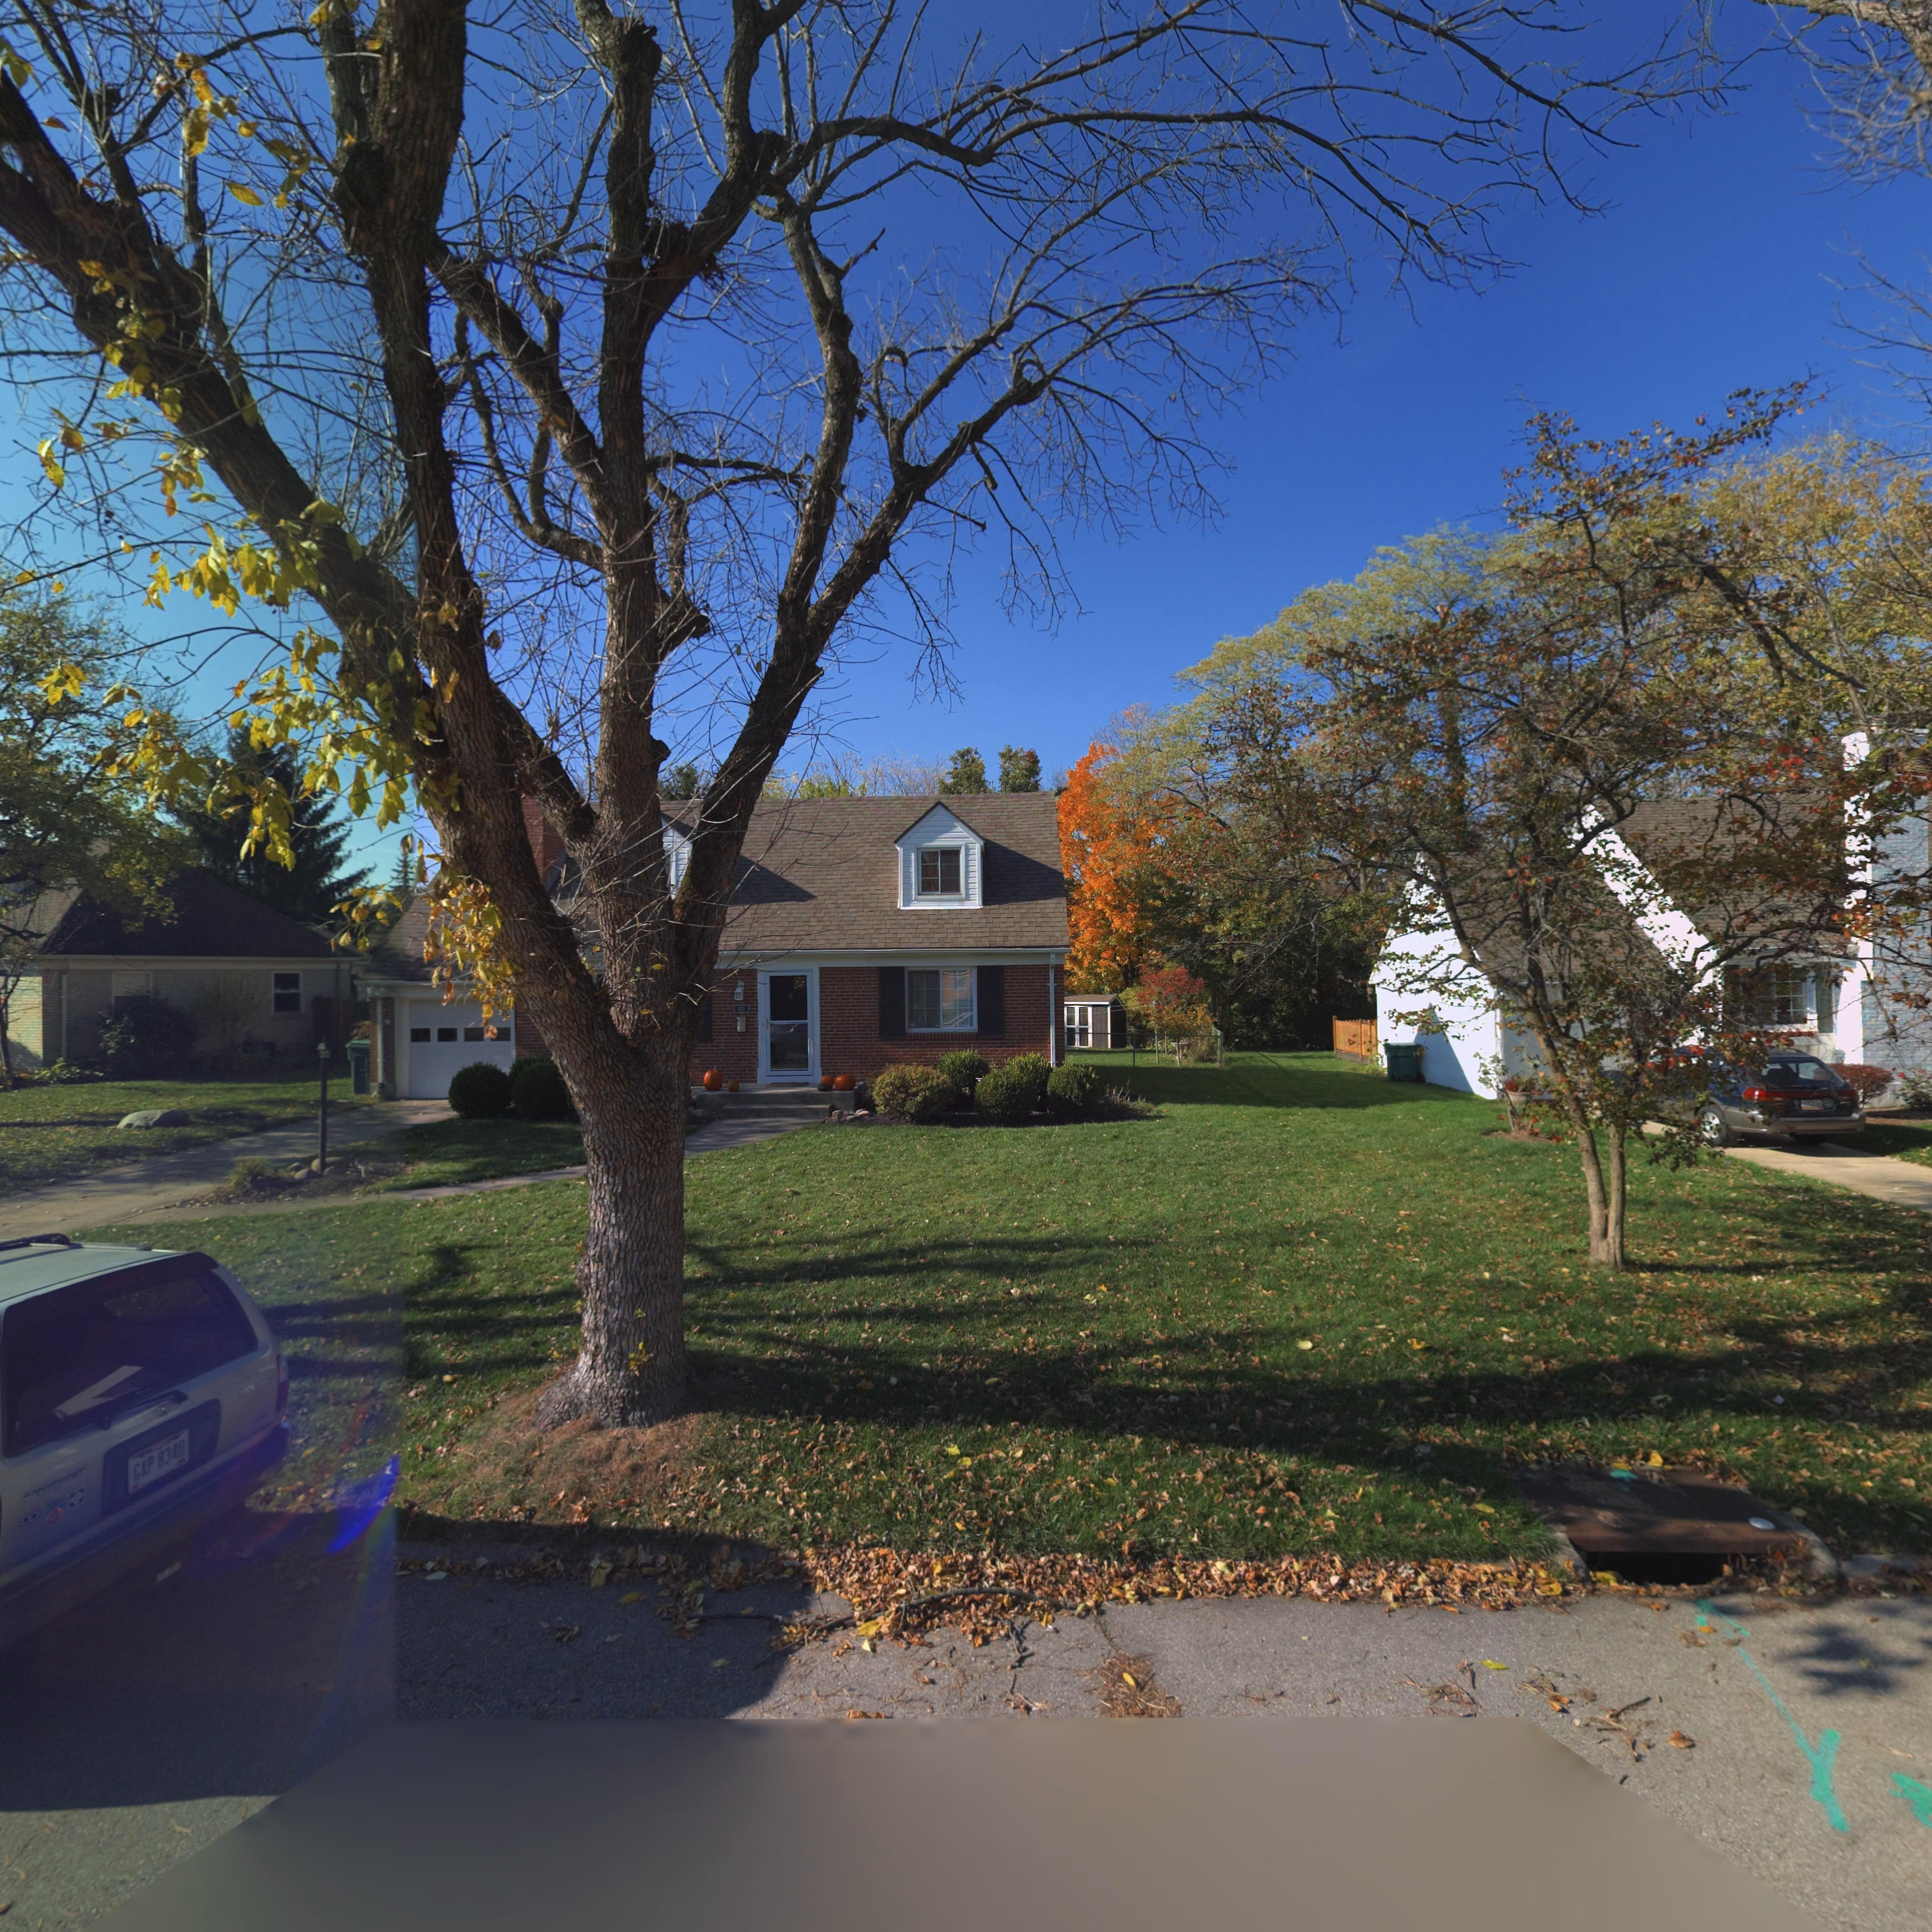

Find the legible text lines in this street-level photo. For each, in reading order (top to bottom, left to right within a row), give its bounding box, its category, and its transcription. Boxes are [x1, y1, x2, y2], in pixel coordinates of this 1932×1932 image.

[737, 1005, 746, 1012] StreetNumber: 121